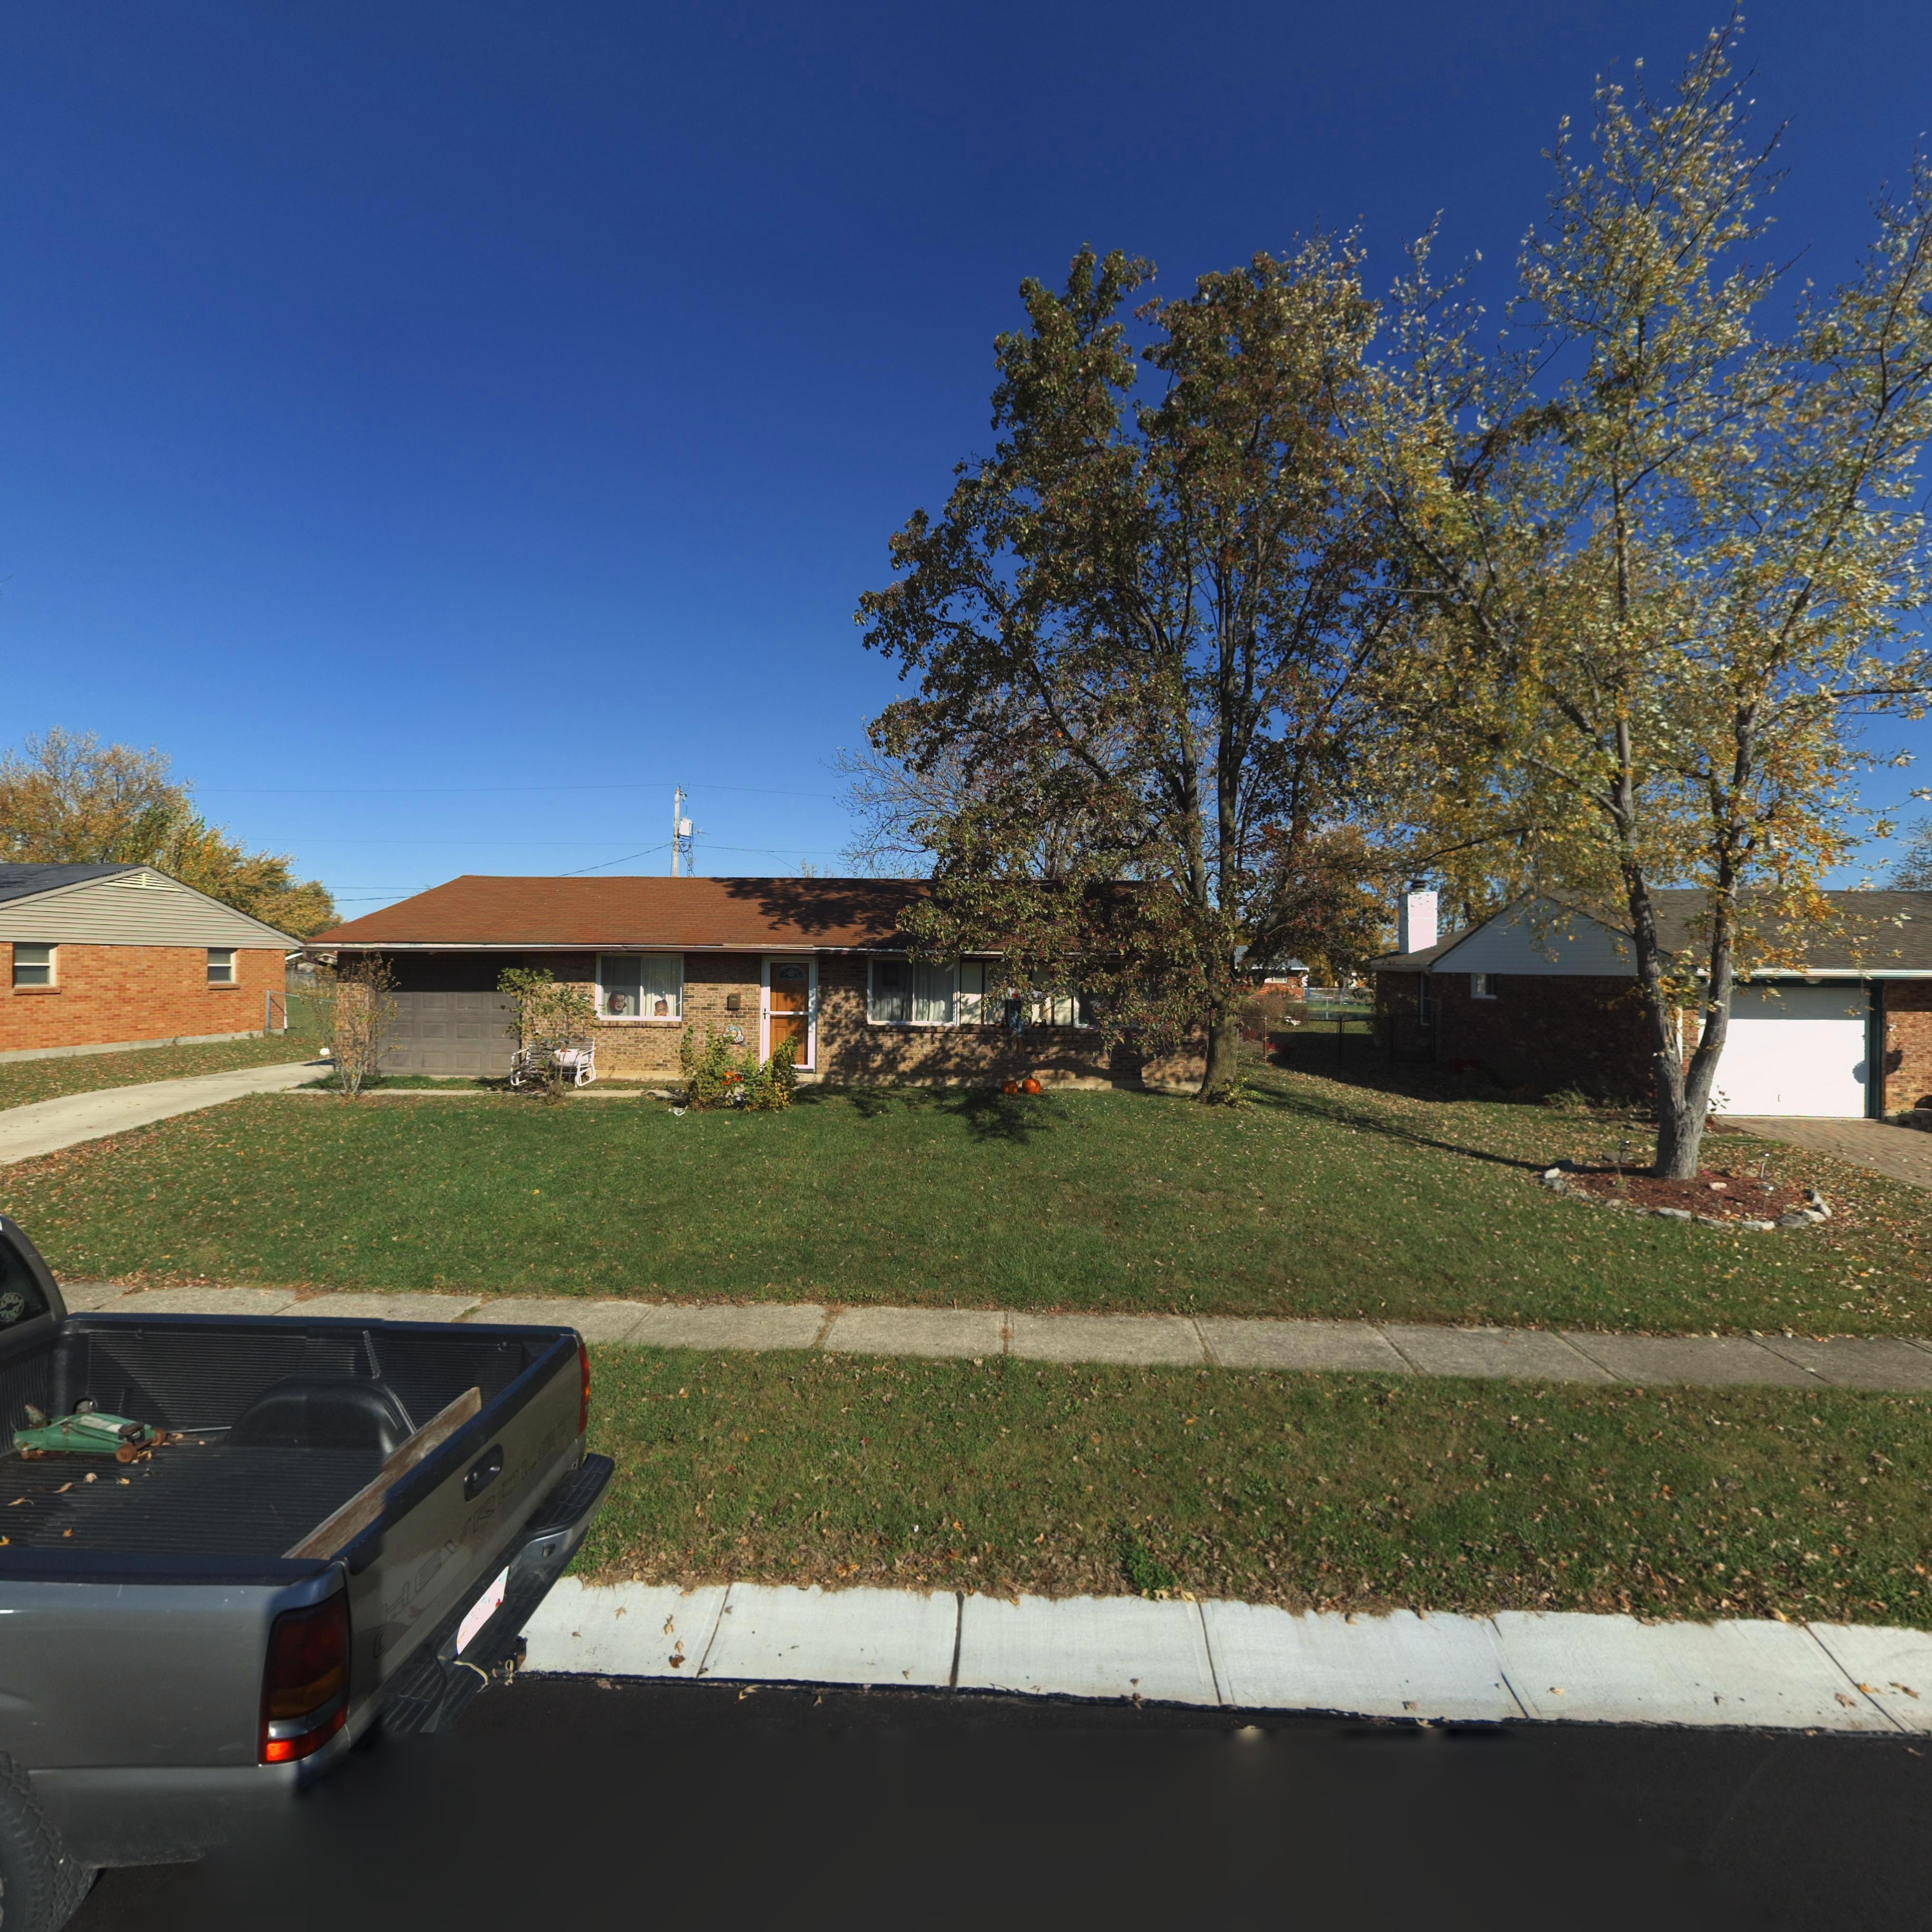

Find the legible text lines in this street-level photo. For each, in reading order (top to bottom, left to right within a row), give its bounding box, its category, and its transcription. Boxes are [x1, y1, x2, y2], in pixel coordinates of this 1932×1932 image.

[1823, 978, 1831, 985] StreetNumber: 9